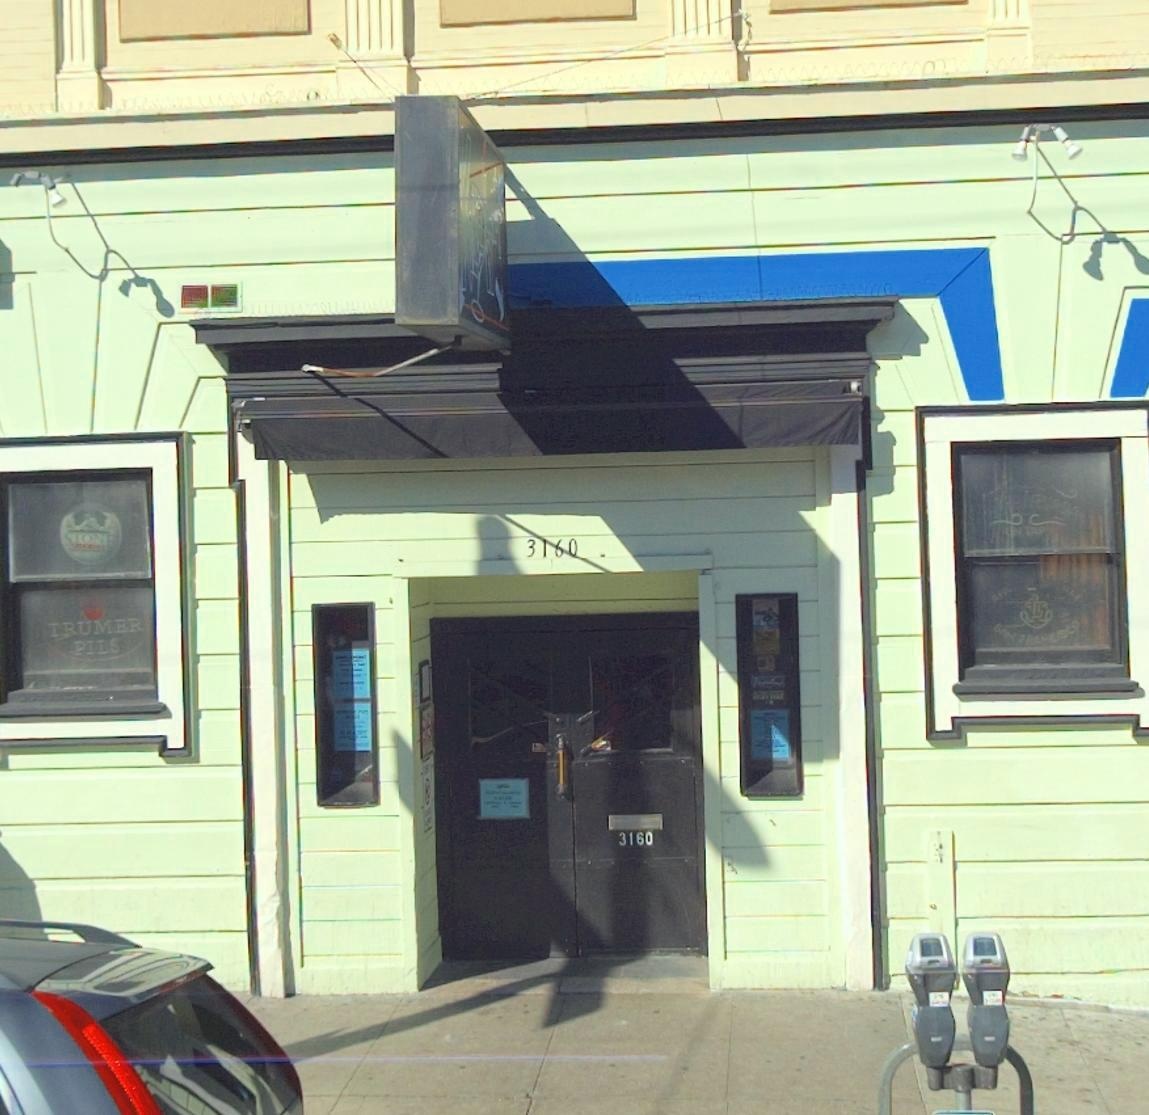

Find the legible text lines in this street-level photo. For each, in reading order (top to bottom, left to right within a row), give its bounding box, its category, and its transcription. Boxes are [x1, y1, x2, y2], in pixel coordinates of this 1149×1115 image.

[62, 529, 117, 547] None: STONE
[525, 537, 579, 559] StreetNumber: 3160
[46, 616, 148, 638] None: TRUMER
[990, 620, 1080, 645] None: SAN *RANCISCO
[72, 637, 124, 656] None: PILS
[616, 830, 655, 847] StreetNumber: 3160